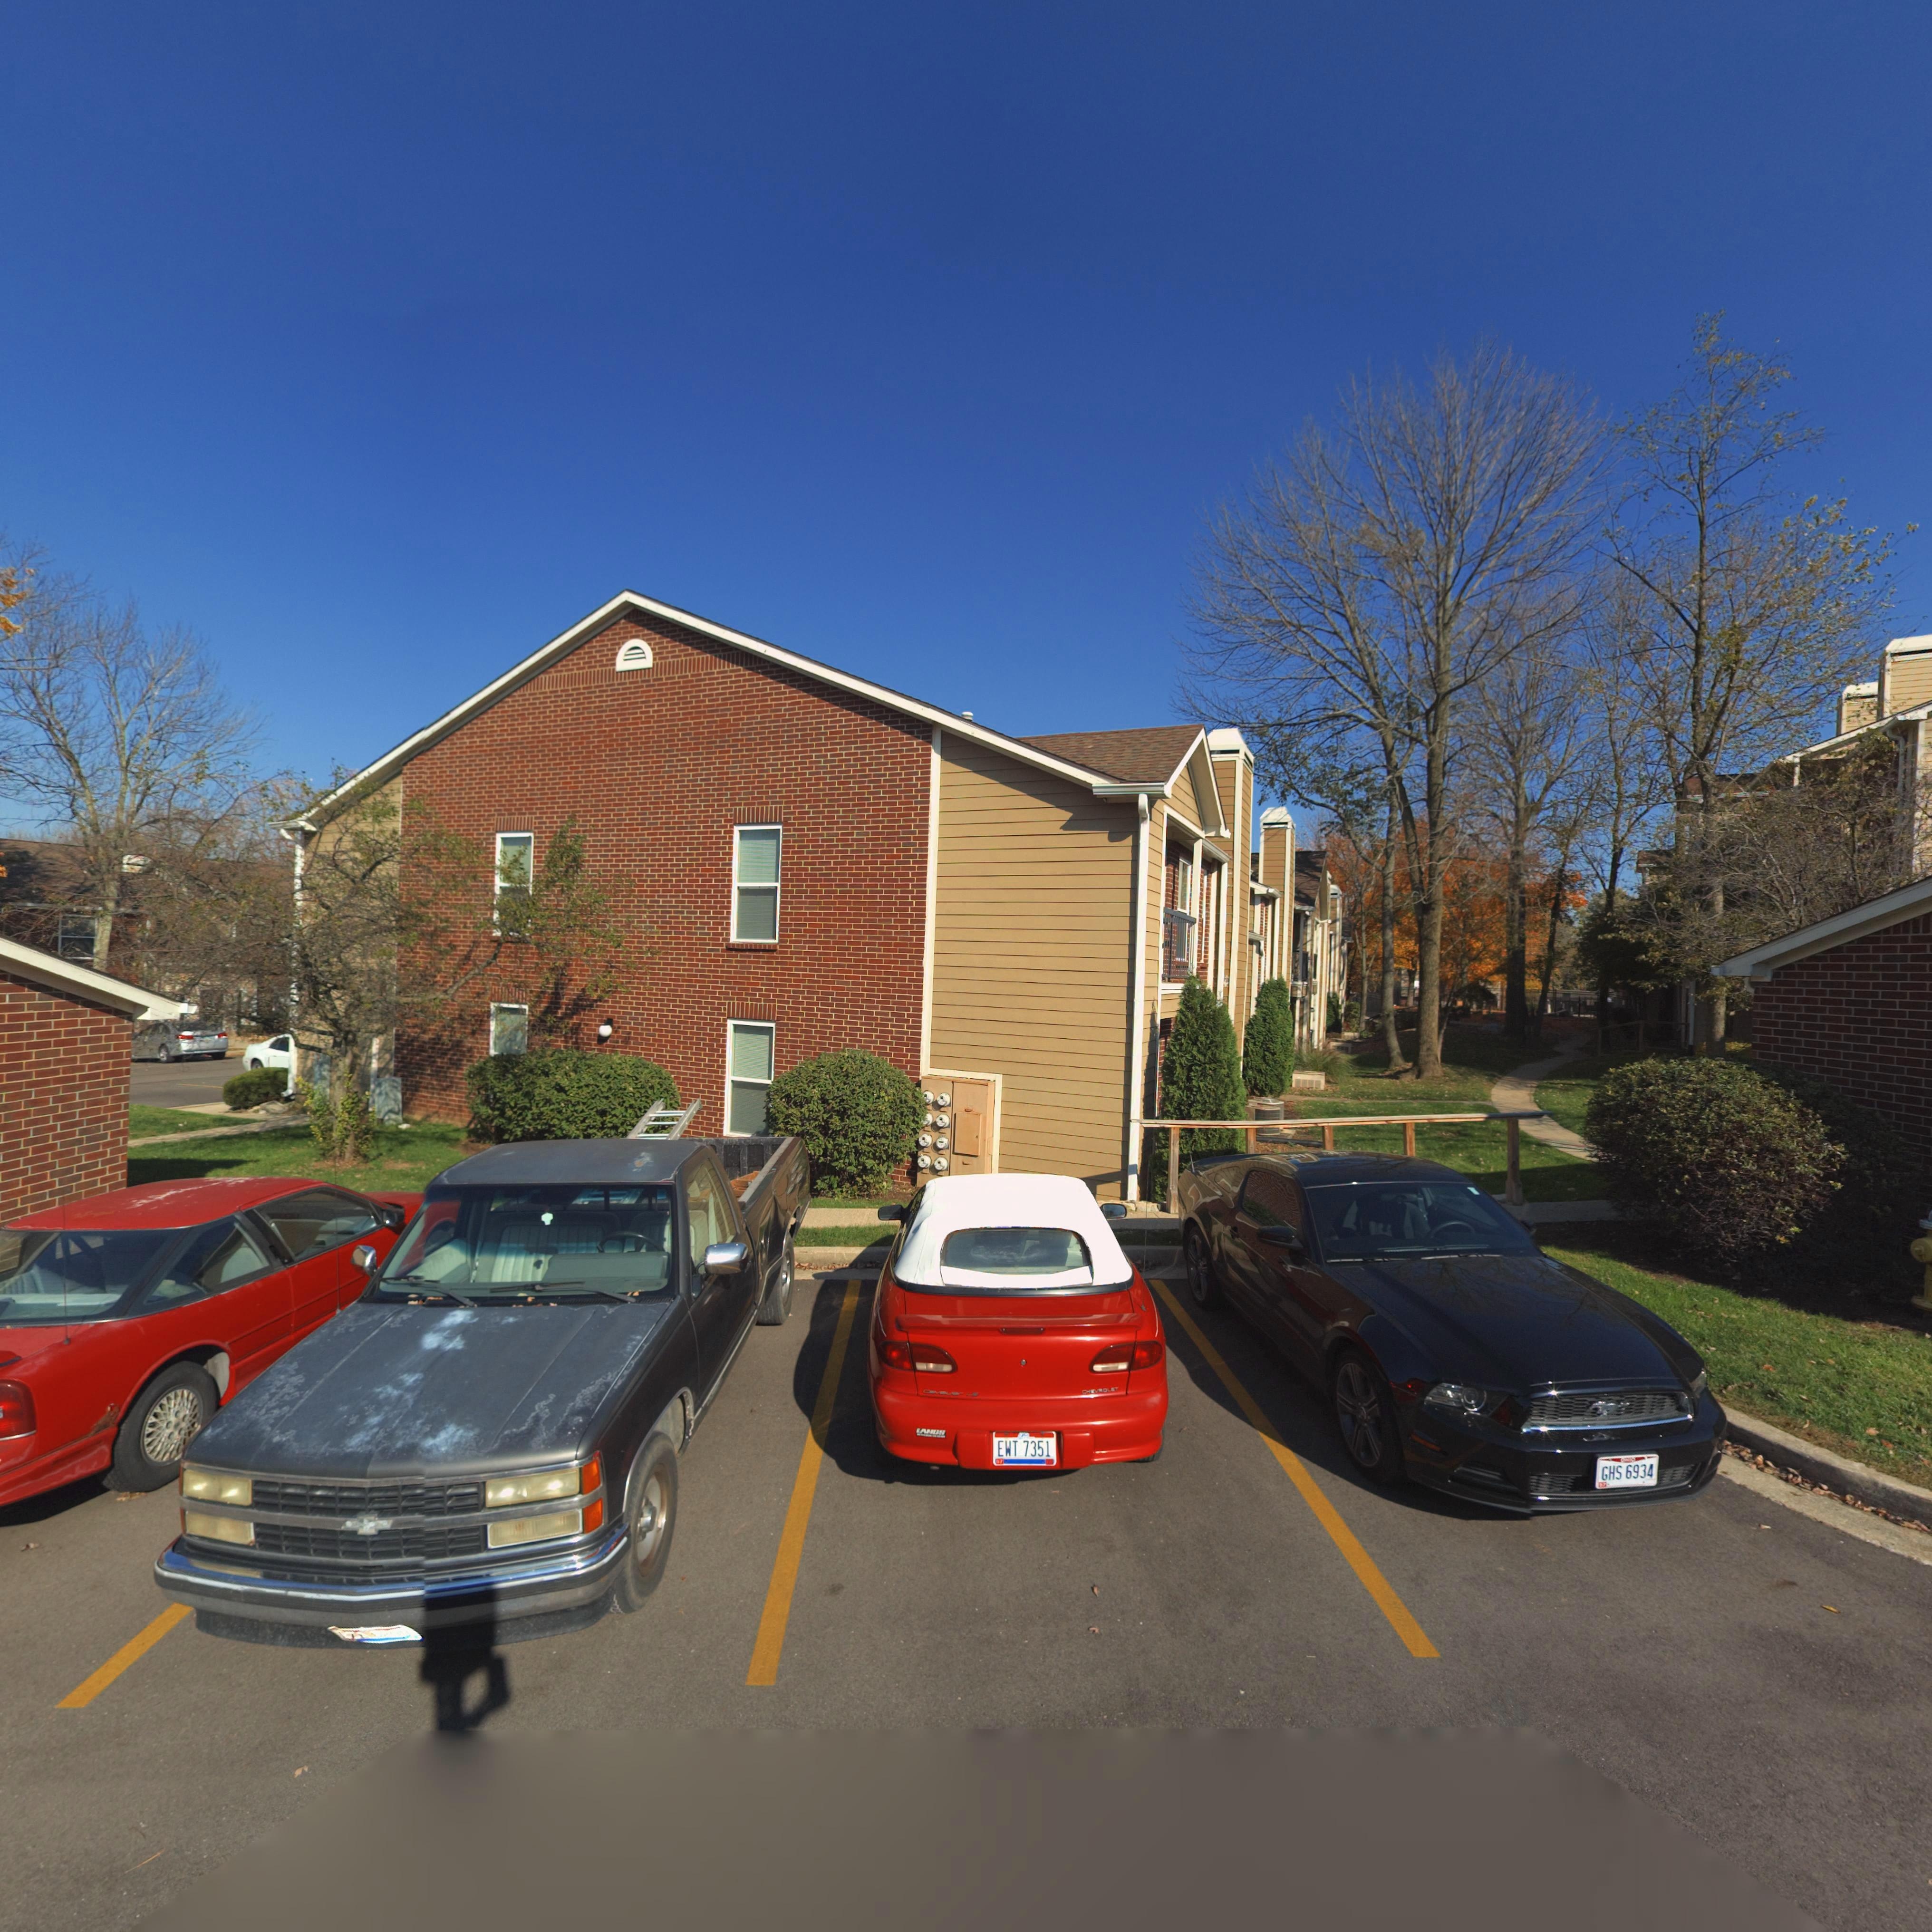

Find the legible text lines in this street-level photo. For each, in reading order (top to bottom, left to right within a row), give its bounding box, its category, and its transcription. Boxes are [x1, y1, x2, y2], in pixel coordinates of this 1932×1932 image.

[918, 1427, 927, 1435] None: A
[996, 1439, 1052, 1459] None: EWT 7351
[1600, 1462, 1655, 1482] None: GHS 6934